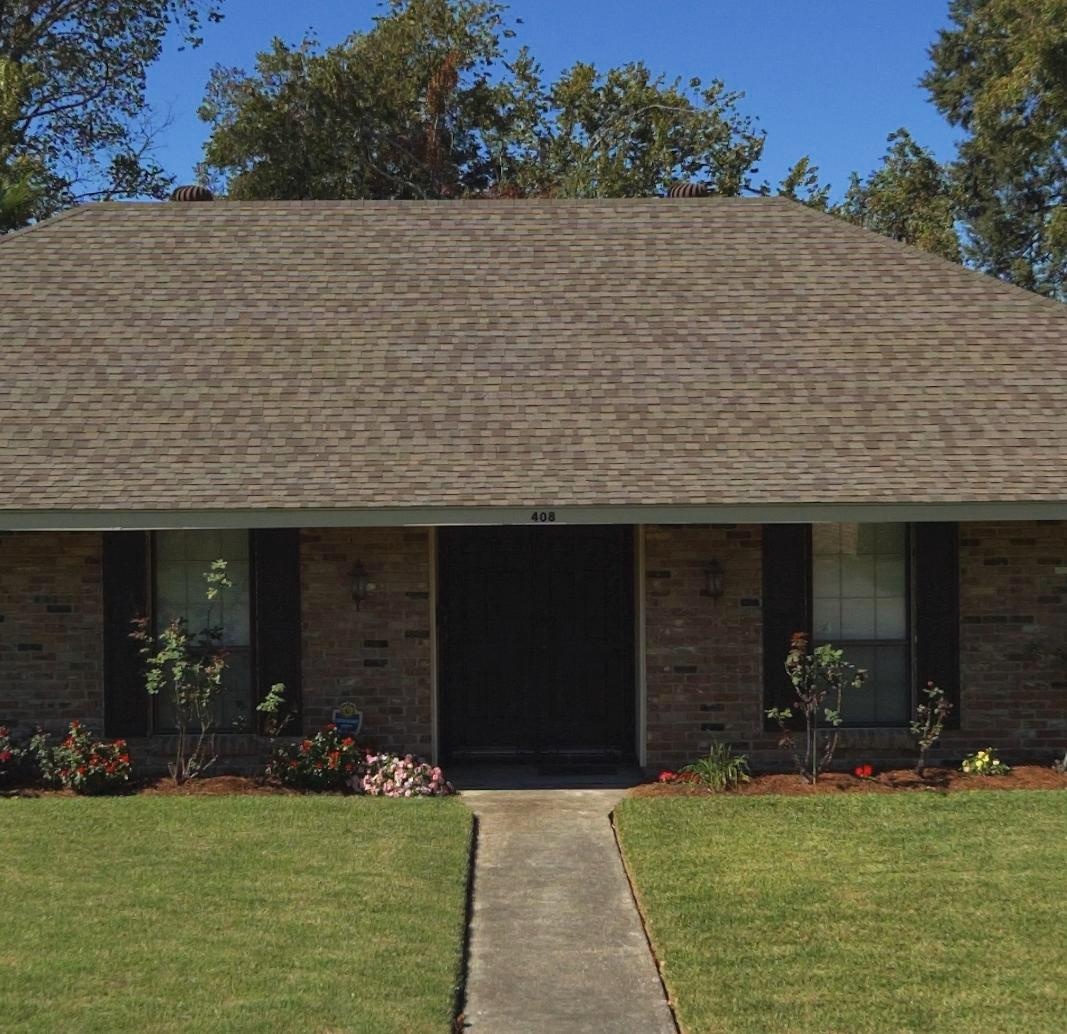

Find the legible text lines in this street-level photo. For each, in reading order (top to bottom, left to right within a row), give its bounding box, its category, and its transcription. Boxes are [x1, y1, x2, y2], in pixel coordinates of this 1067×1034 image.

[529, 509, 557, 524] StreetNumber: 408